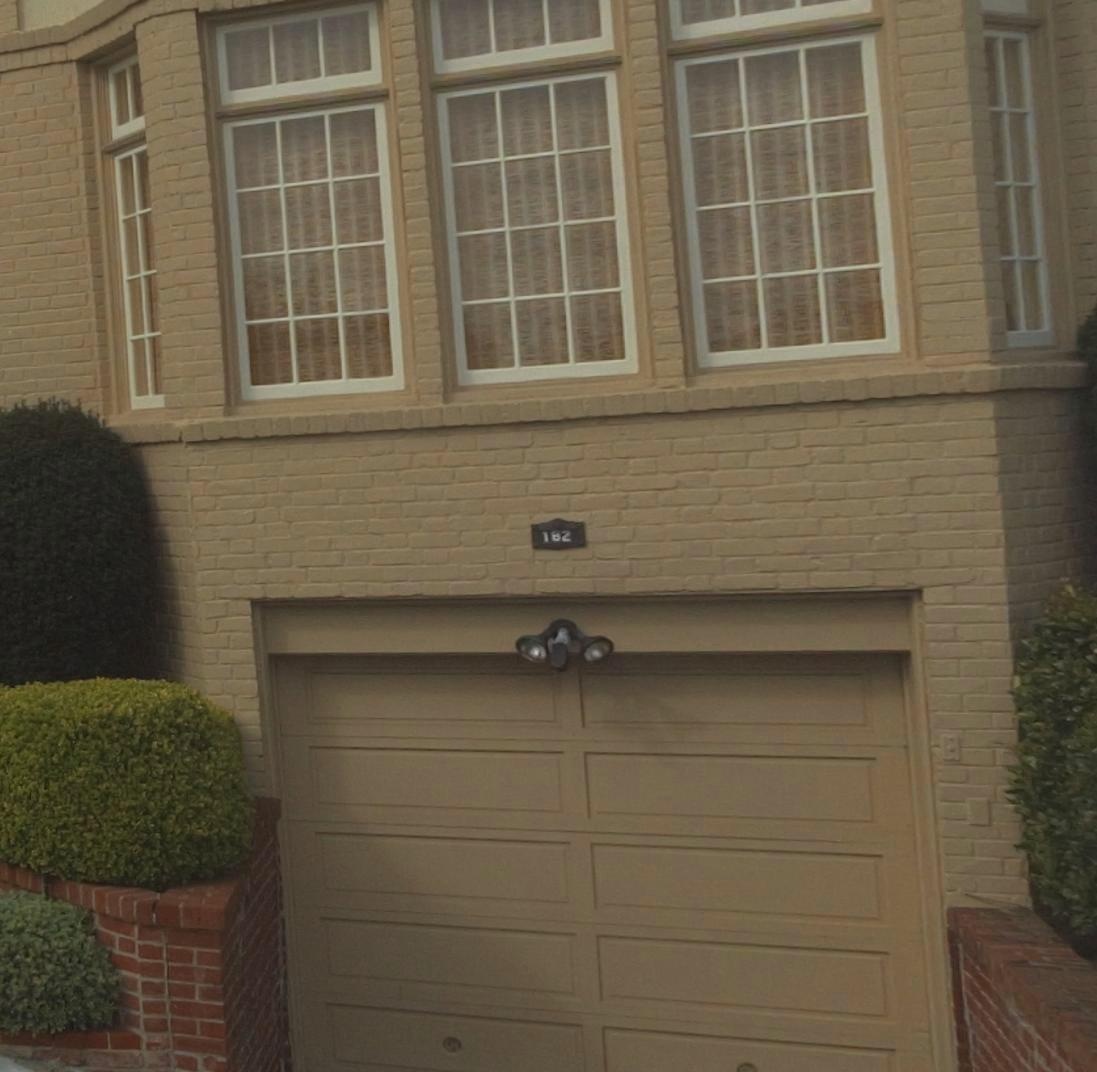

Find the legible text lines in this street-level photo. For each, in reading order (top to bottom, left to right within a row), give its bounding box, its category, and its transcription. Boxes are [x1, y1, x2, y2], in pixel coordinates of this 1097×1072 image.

[540, 529, 573, 544] StreetNumber: 182